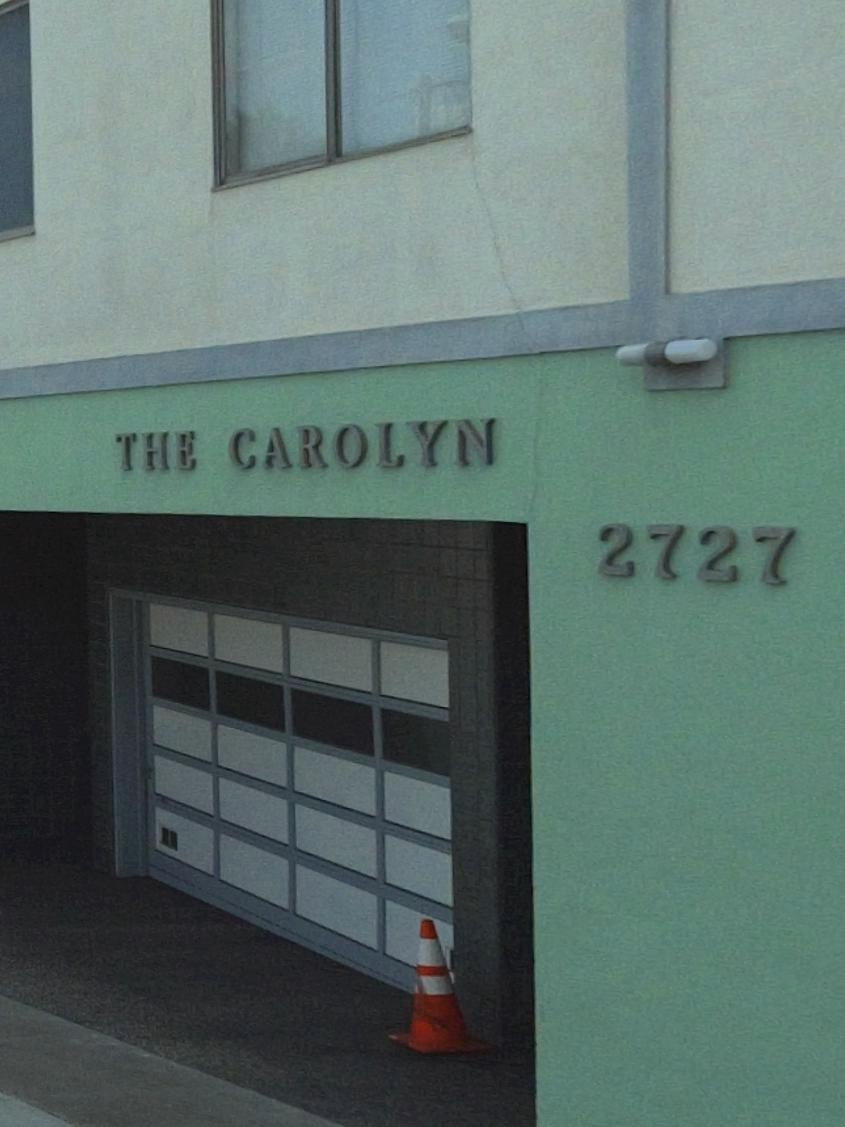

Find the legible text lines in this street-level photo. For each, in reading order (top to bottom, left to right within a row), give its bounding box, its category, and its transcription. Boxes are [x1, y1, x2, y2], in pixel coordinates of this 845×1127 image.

[114, 416, 498, 473] BusinessName: THE CAROLYN
[597, 522, 796, 588] StreetNumber: 2727